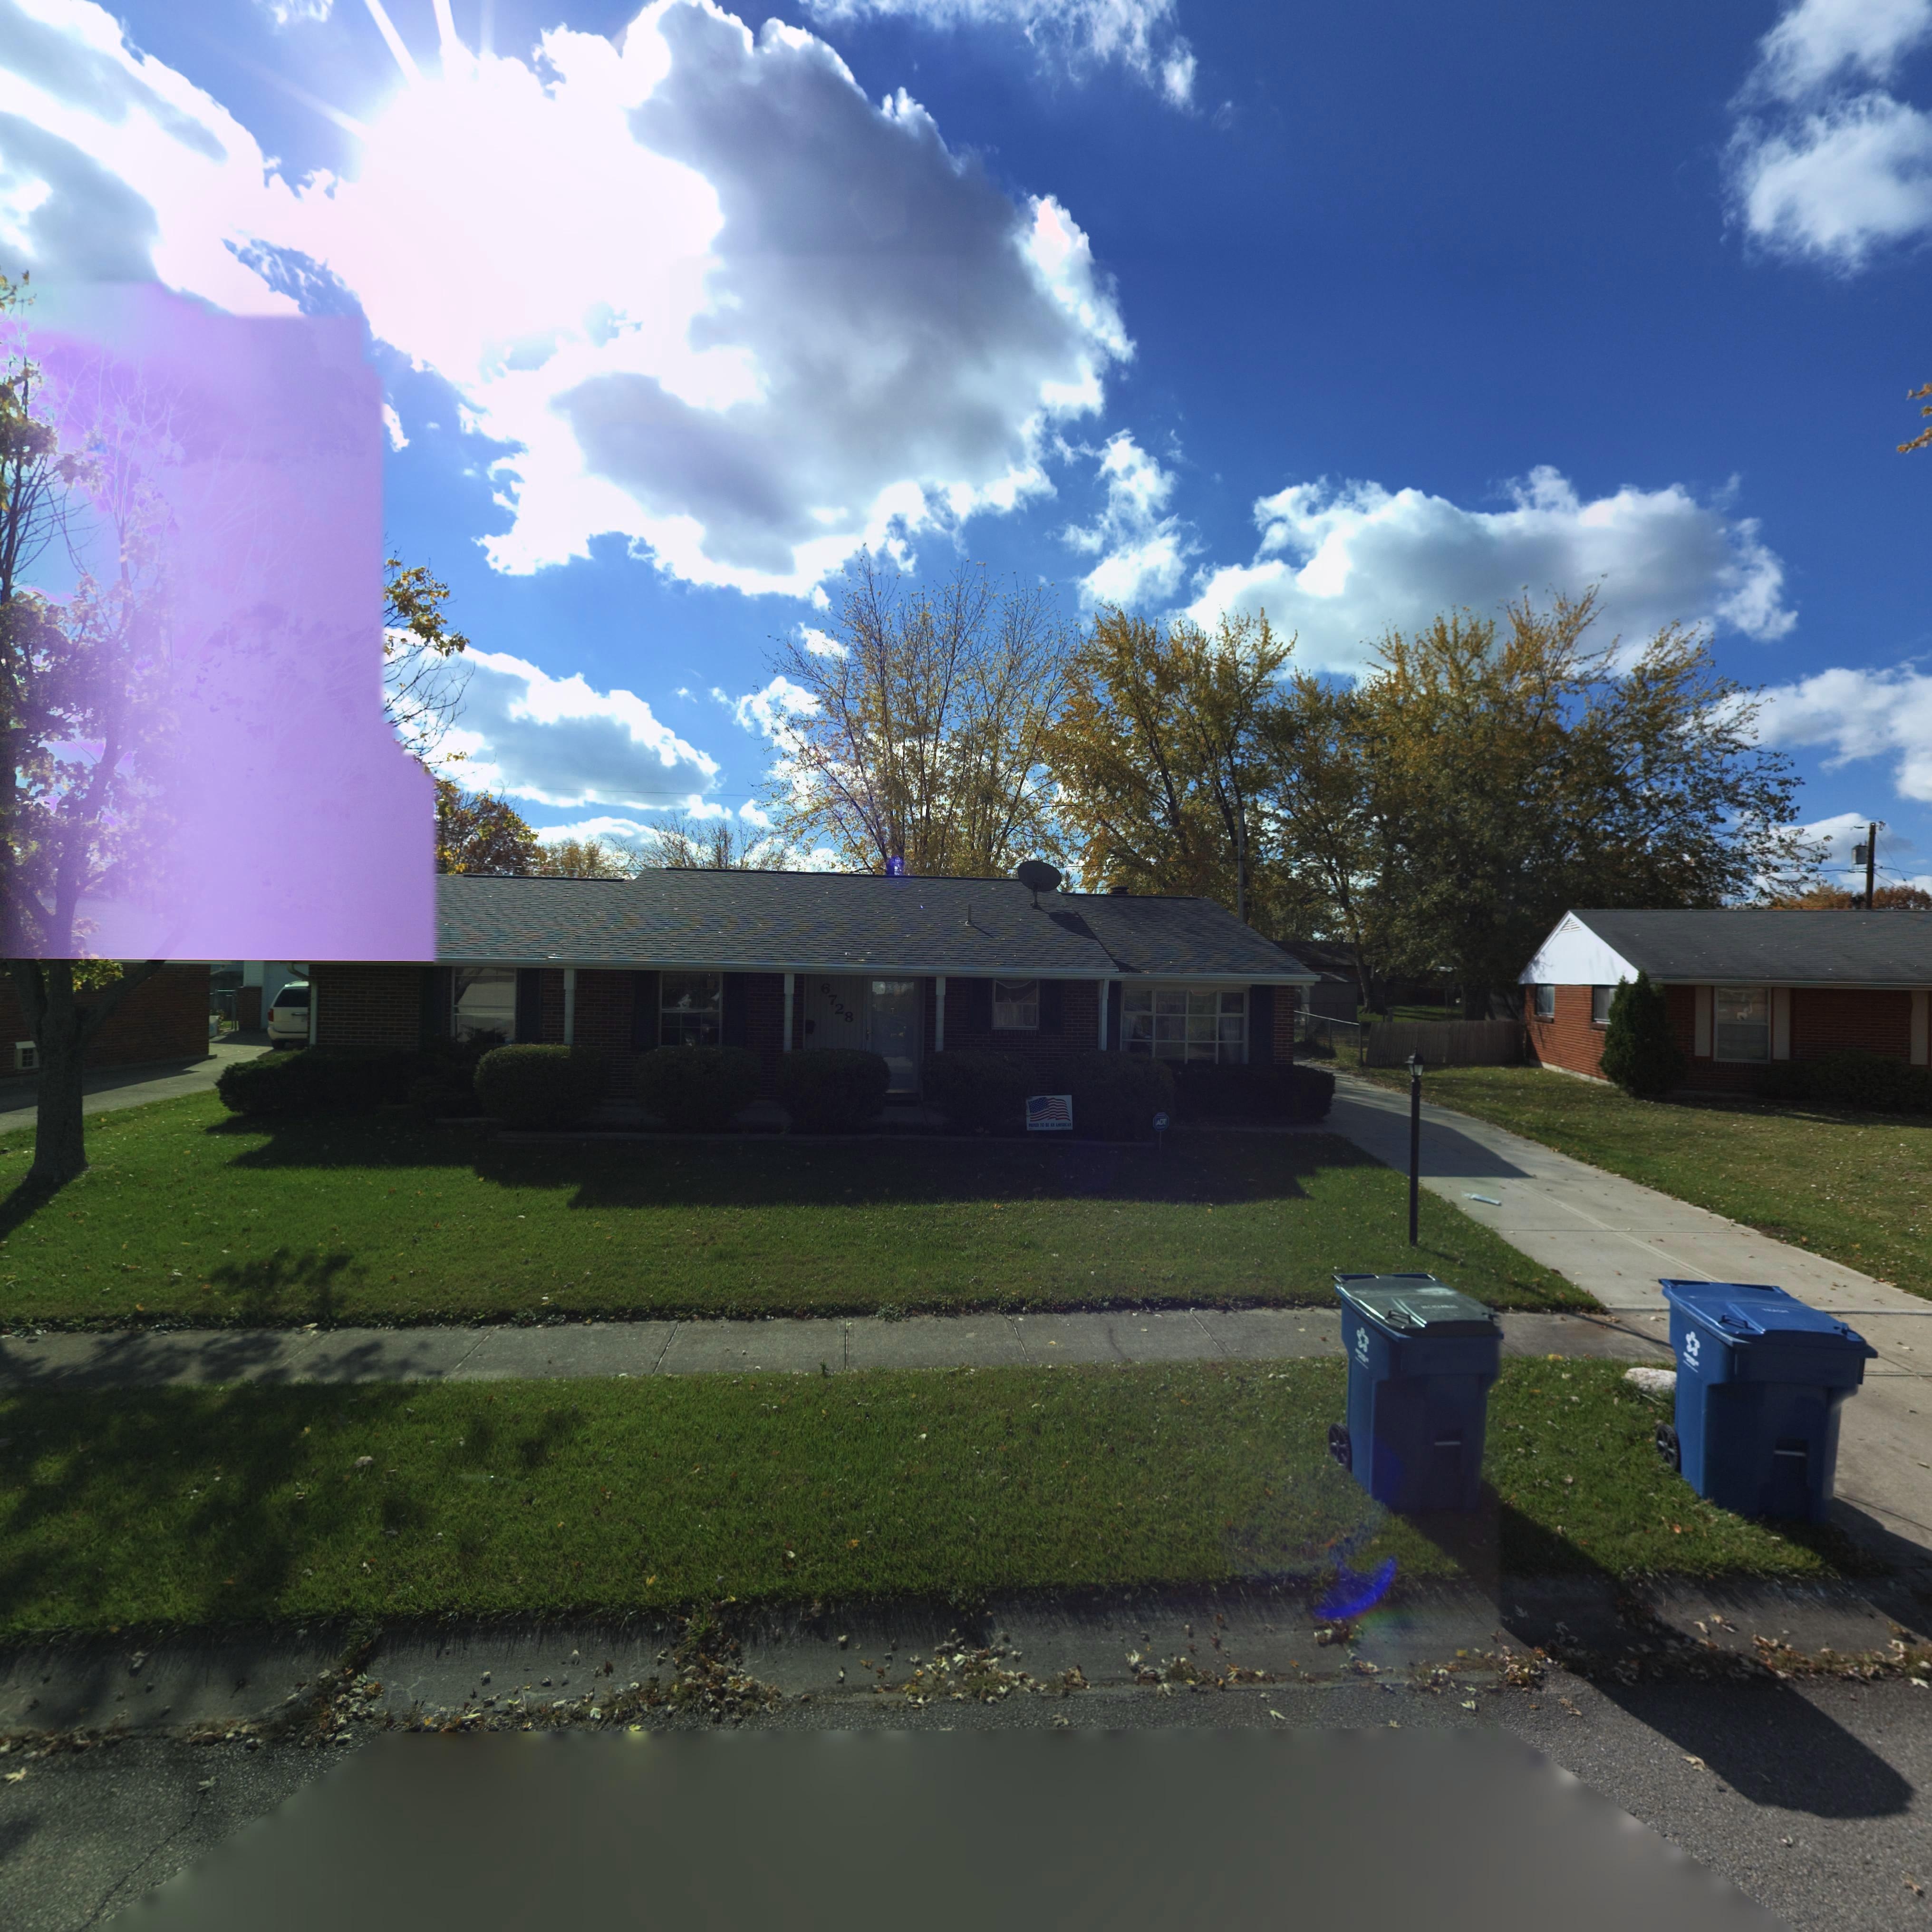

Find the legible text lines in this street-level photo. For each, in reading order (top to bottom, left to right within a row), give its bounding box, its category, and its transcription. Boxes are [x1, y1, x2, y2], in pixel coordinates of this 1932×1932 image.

[820, 982, 854, 1023] StreetNumber: 6728